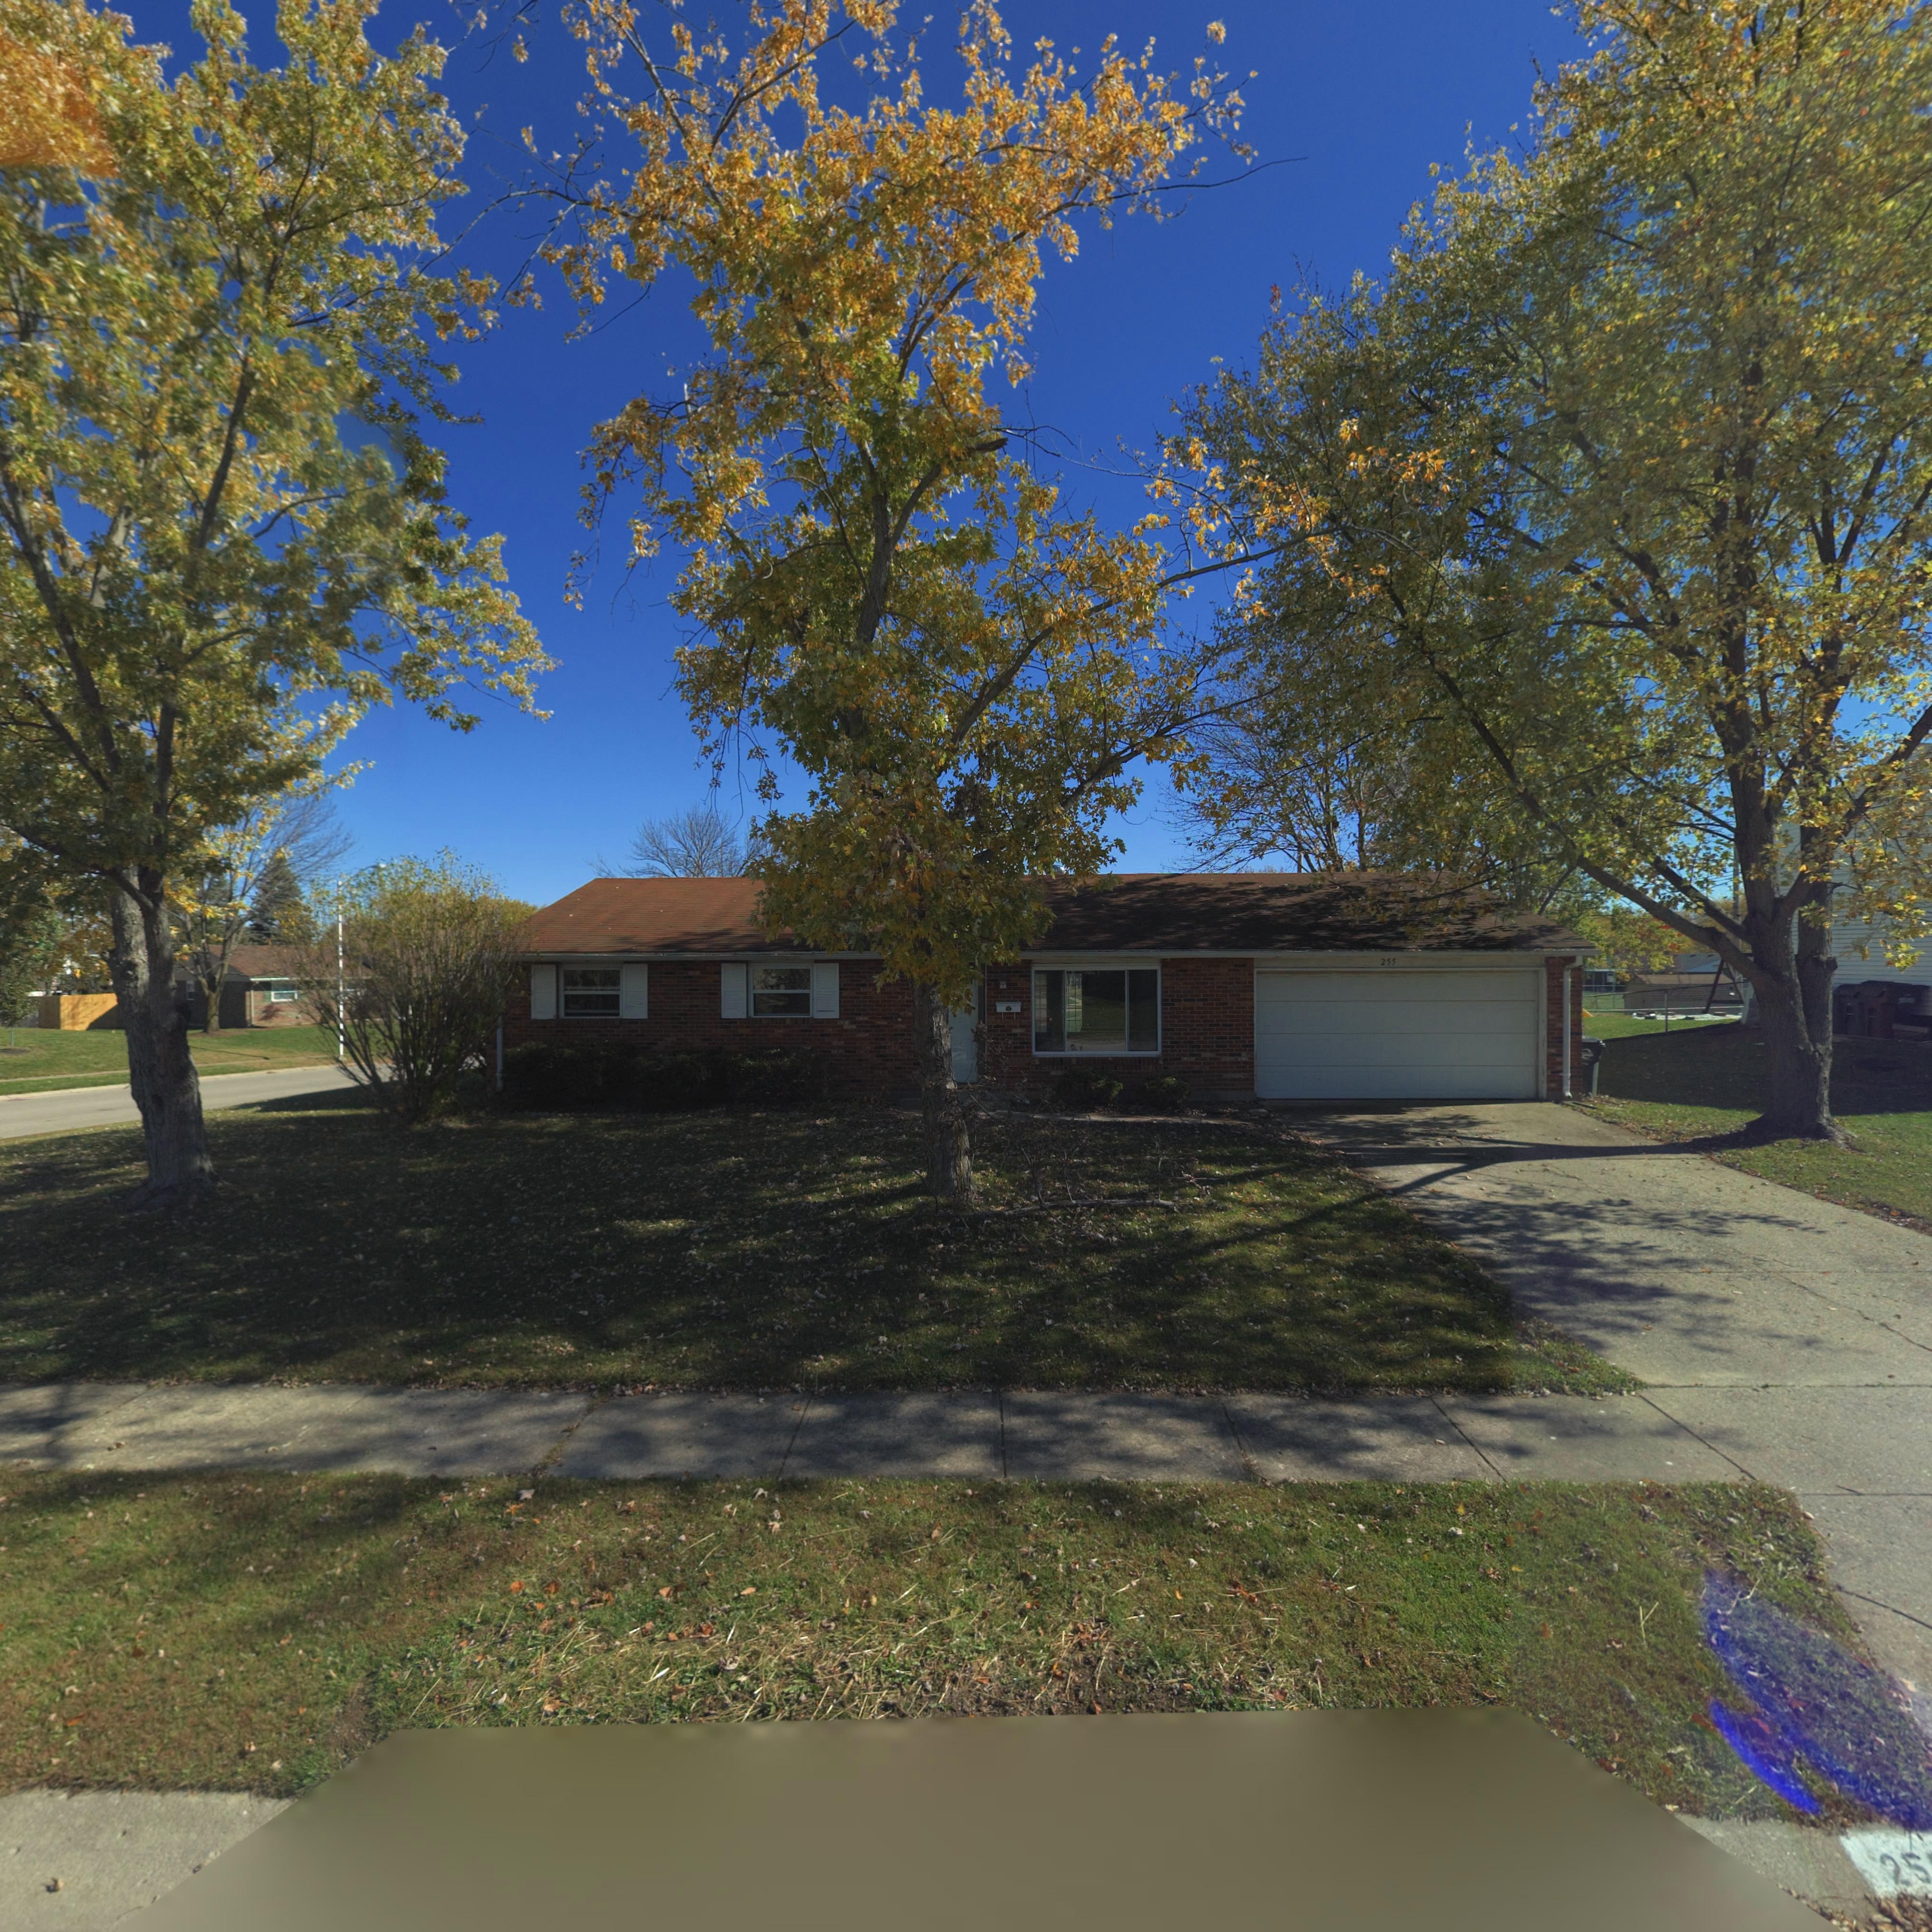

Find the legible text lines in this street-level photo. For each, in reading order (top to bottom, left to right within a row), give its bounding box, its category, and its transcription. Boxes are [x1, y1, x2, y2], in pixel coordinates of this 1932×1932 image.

[1380, 957, 1397, 966] StreetNumber: 255